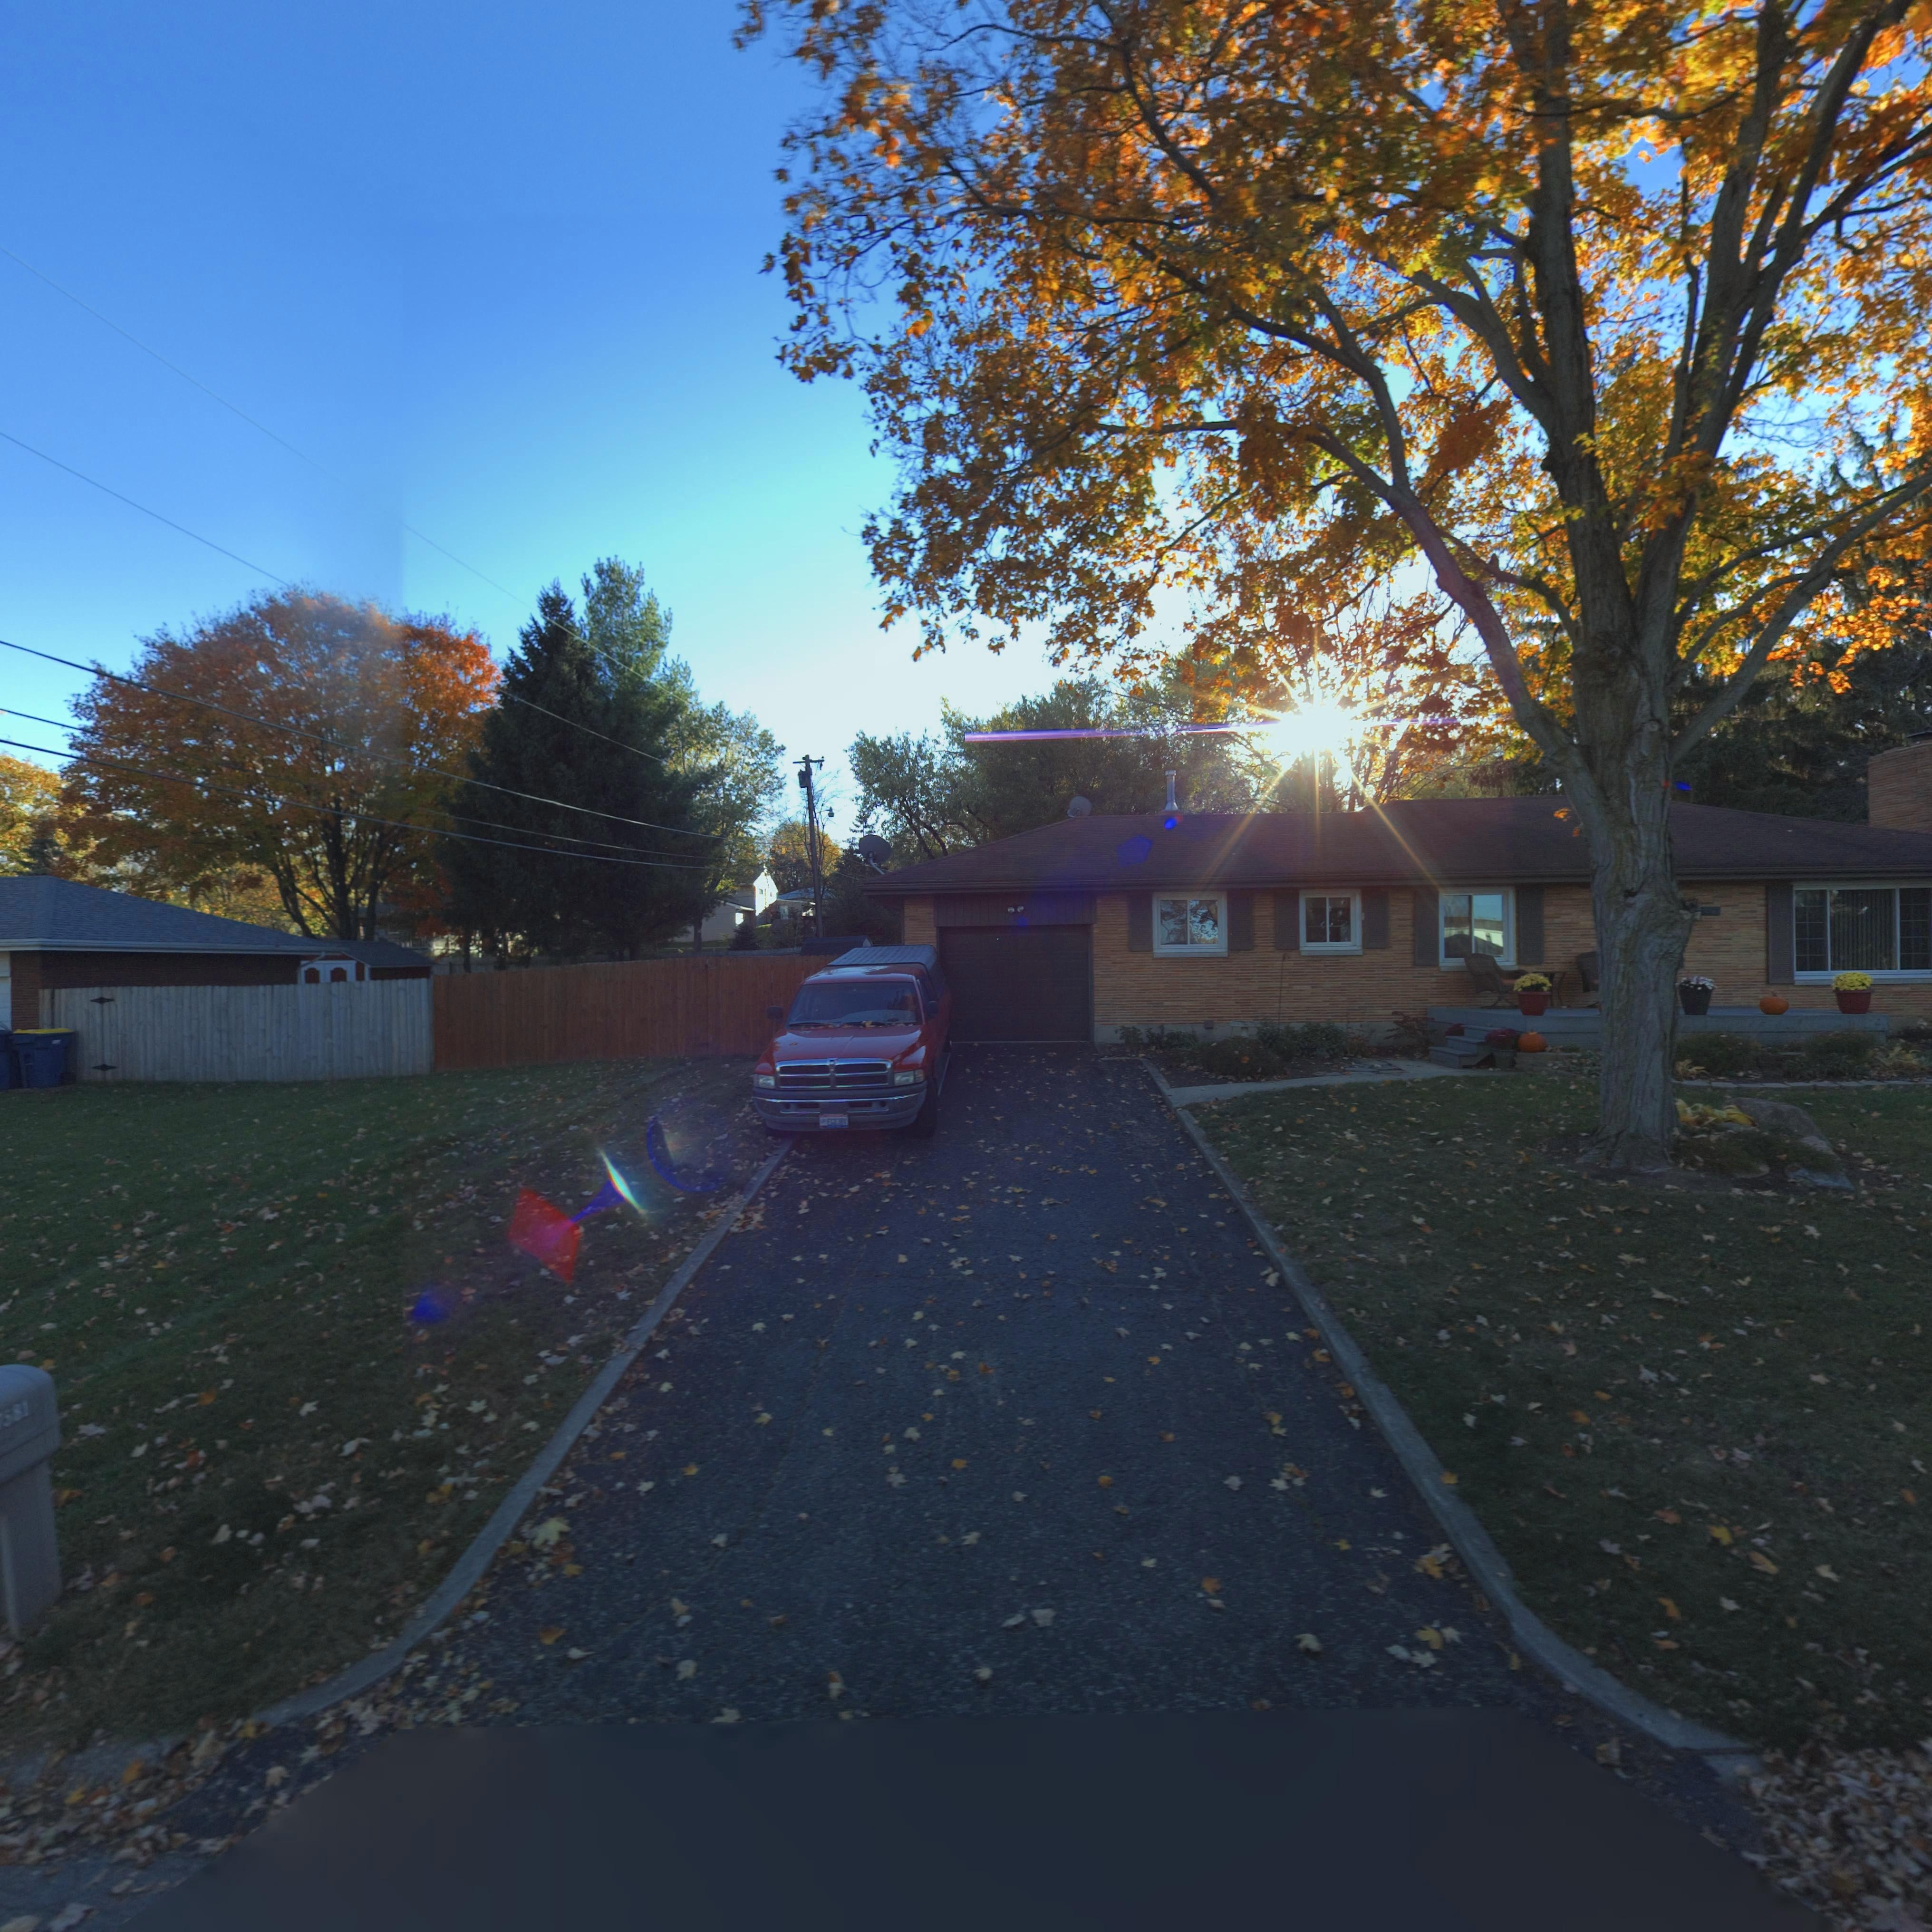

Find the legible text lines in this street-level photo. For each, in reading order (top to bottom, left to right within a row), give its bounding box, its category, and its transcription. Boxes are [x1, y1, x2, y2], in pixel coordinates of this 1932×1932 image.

[2, 1396, 30, 1430] StreetNumber: 581